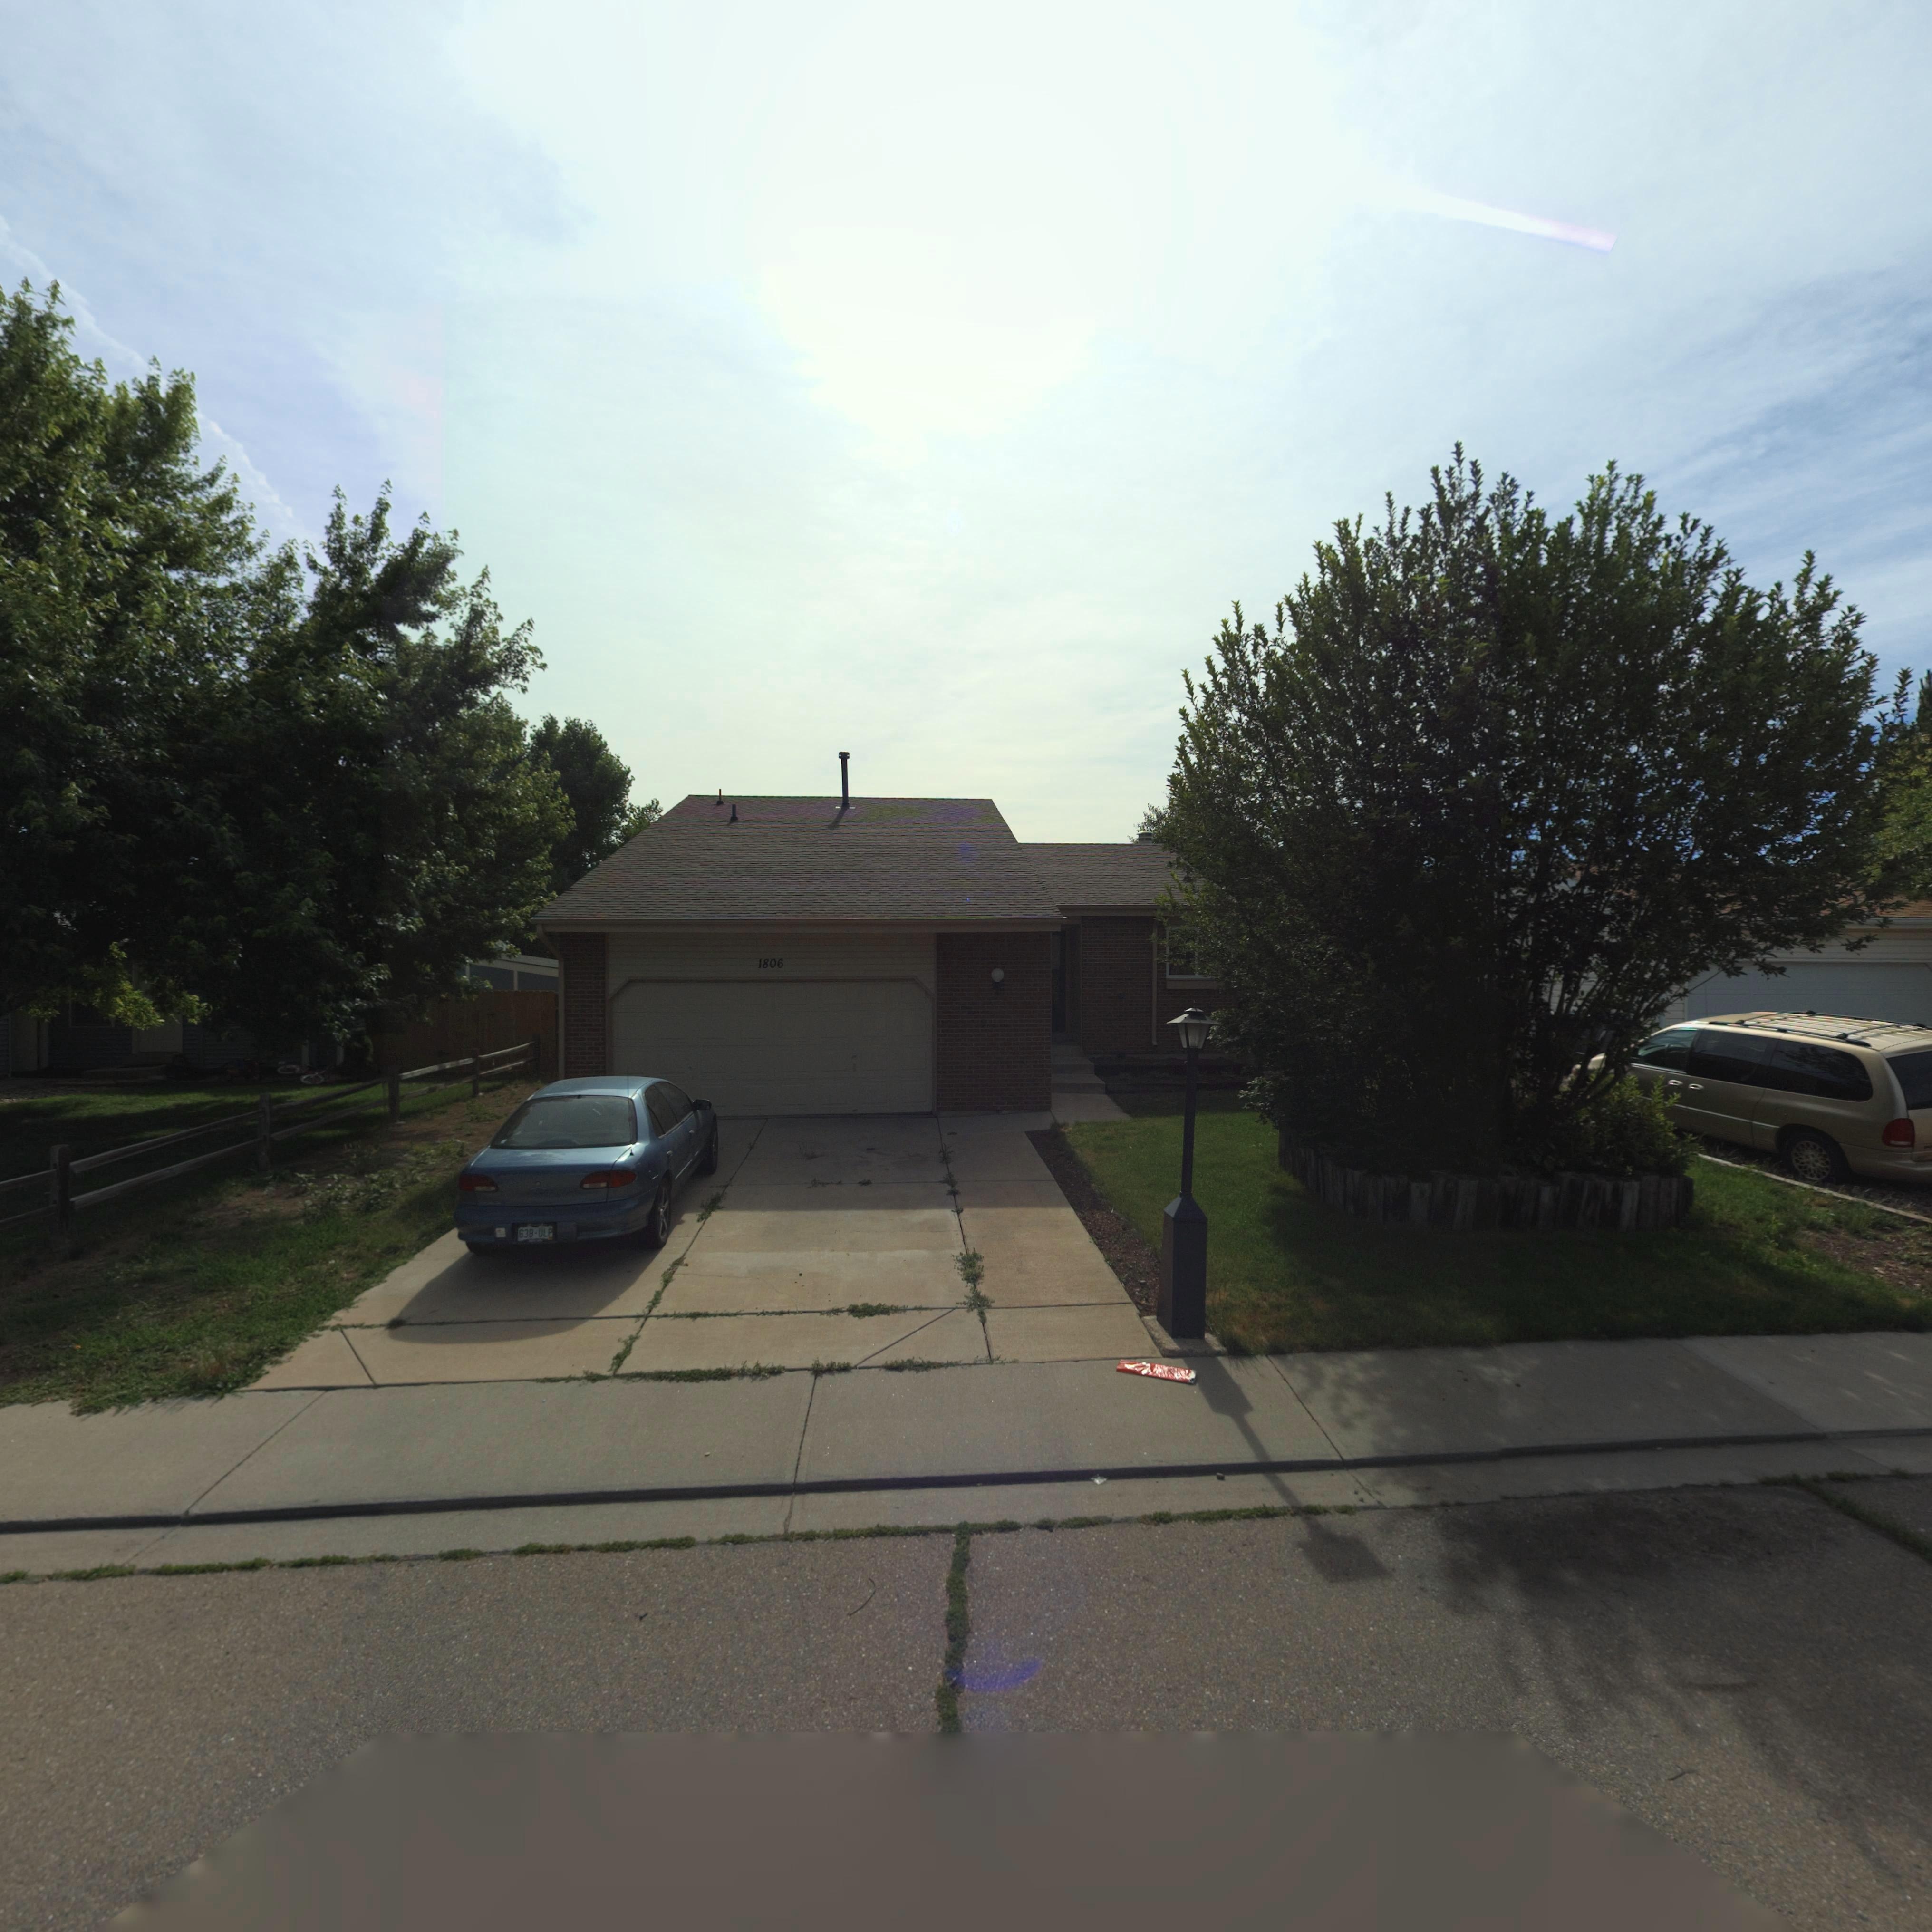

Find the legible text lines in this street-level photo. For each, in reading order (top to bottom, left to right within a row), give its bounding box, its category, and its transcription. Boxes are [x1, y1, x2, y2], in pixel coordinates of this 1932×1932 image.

[757, 956, 784, 968] StreetNumber: 1806